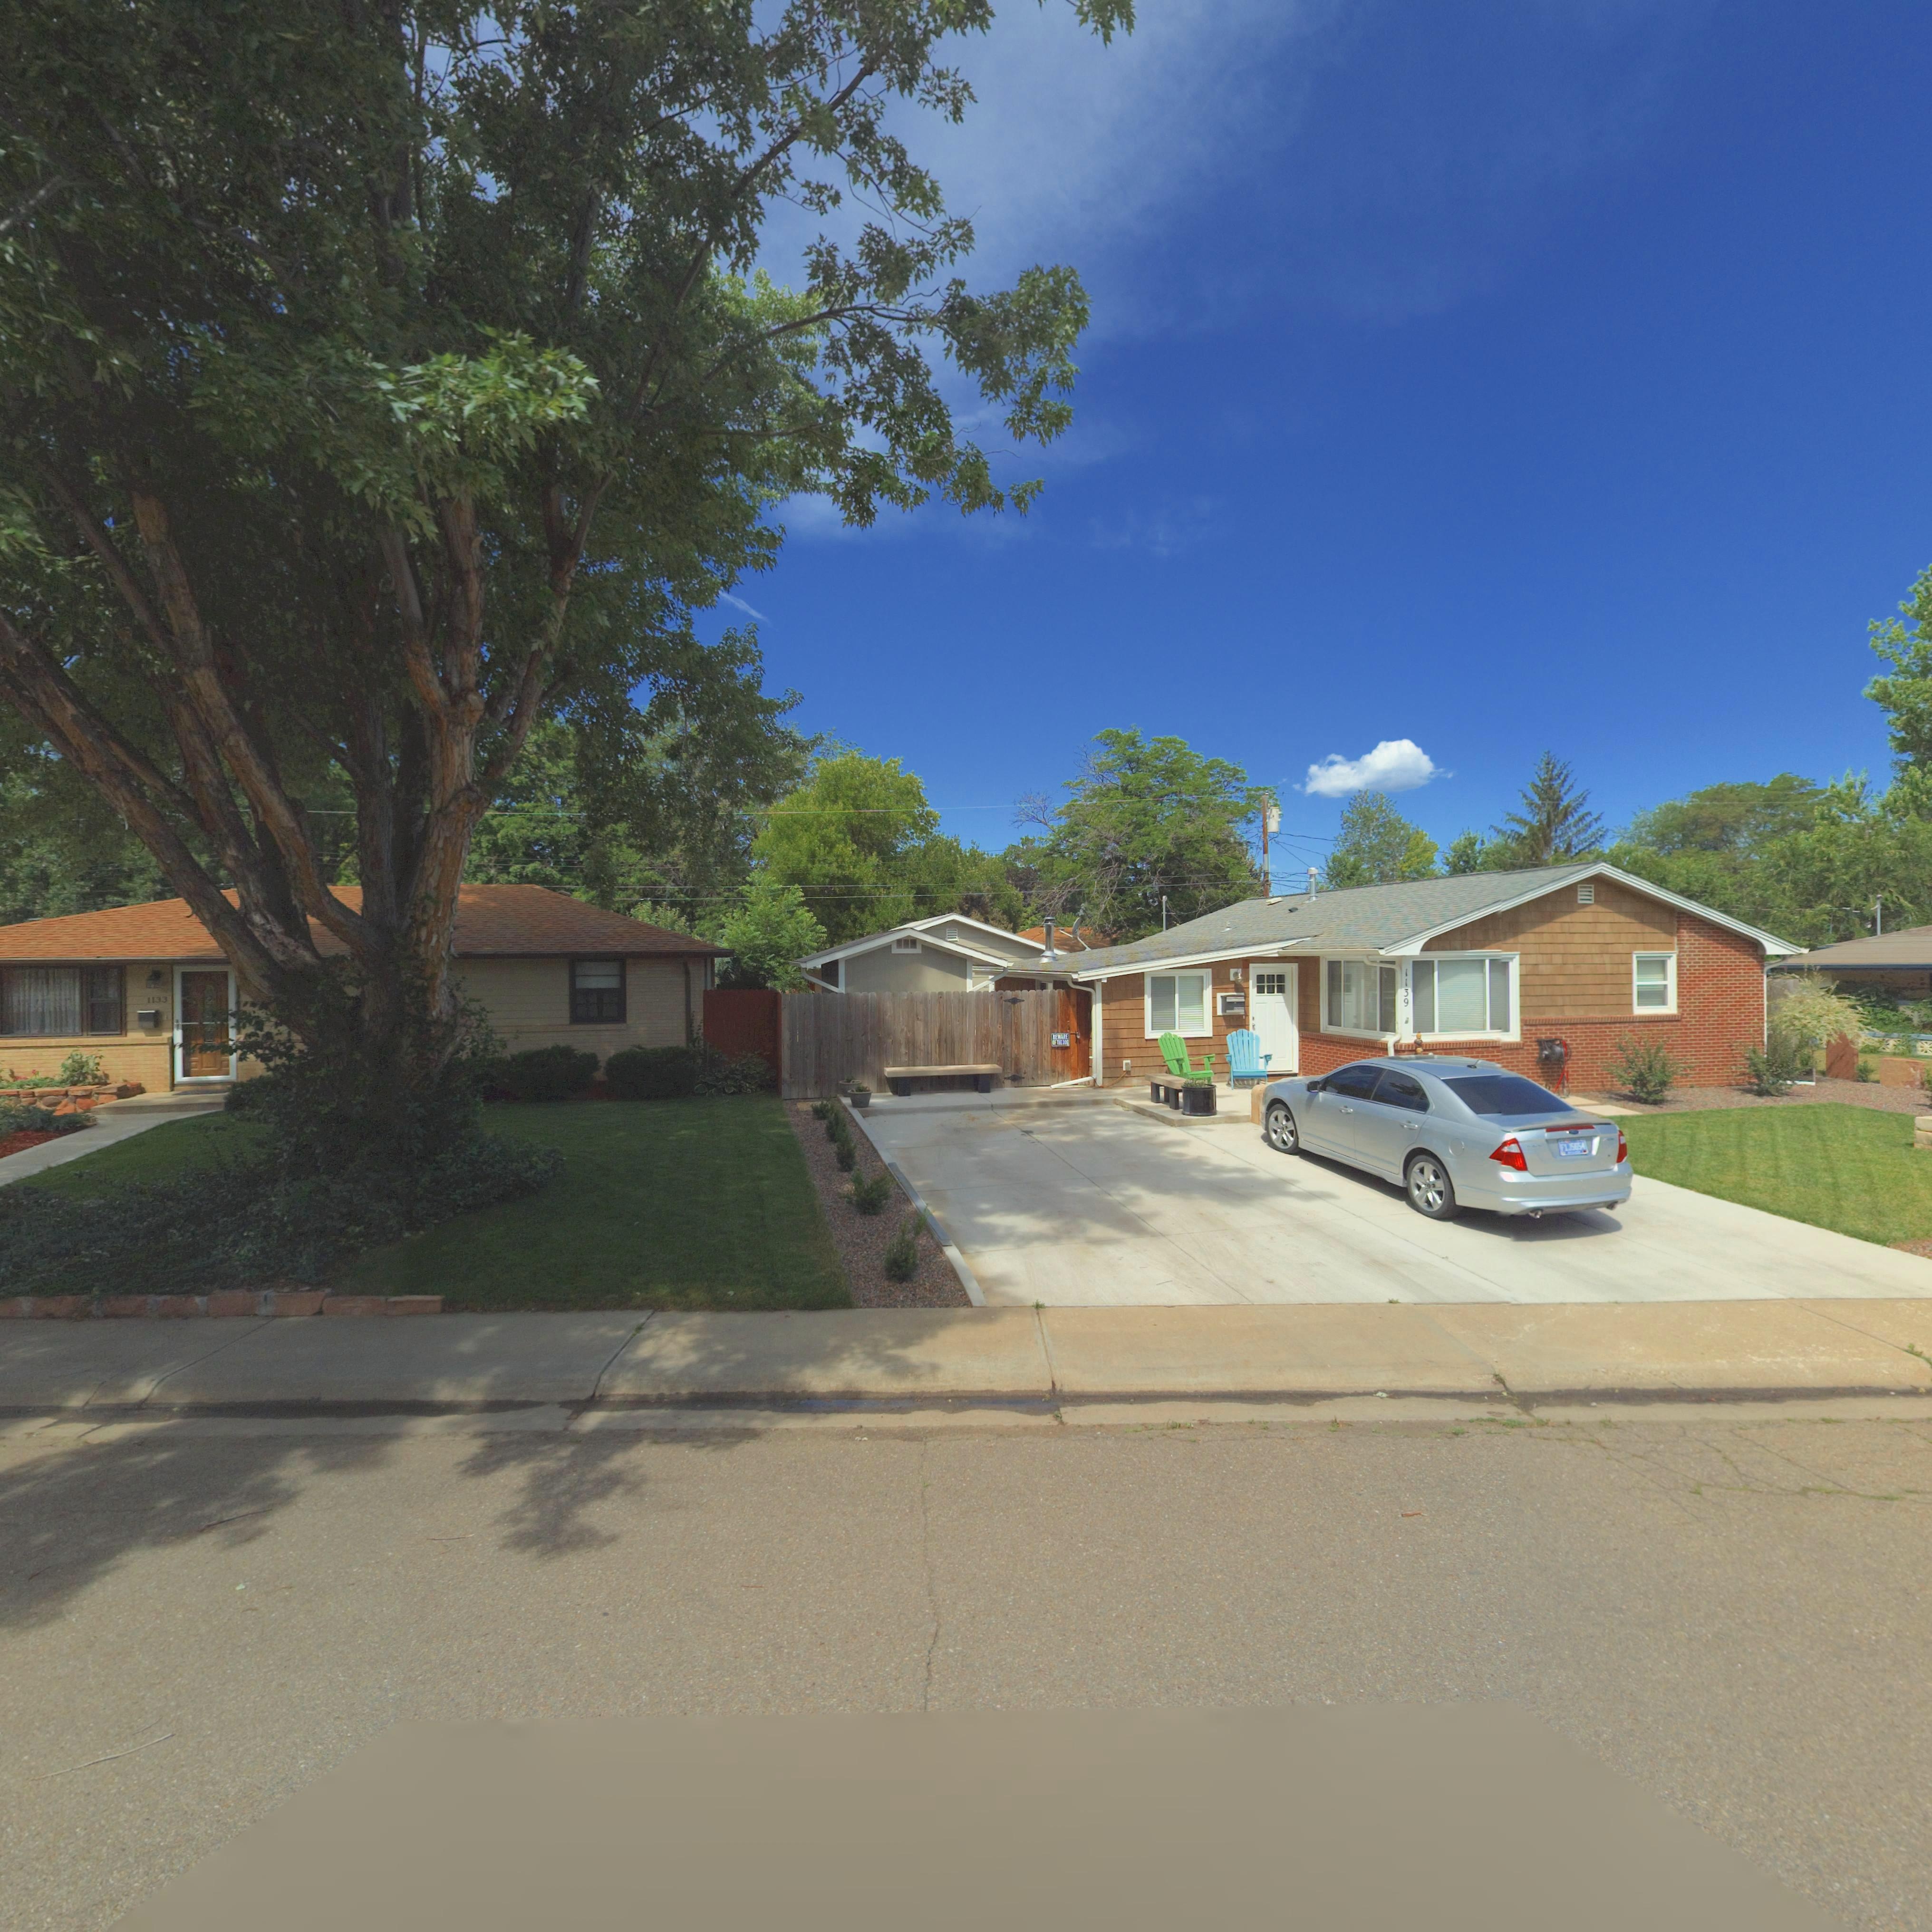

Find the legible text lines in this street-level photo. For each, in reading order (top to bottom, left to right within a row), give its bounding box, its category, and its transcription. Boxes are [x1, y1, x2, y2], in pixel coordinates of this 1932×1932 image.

[147, 996, 167, 1003] StreetNumber: 1133
[1403, 968, 1409, 1007] StreetNumber: 1139